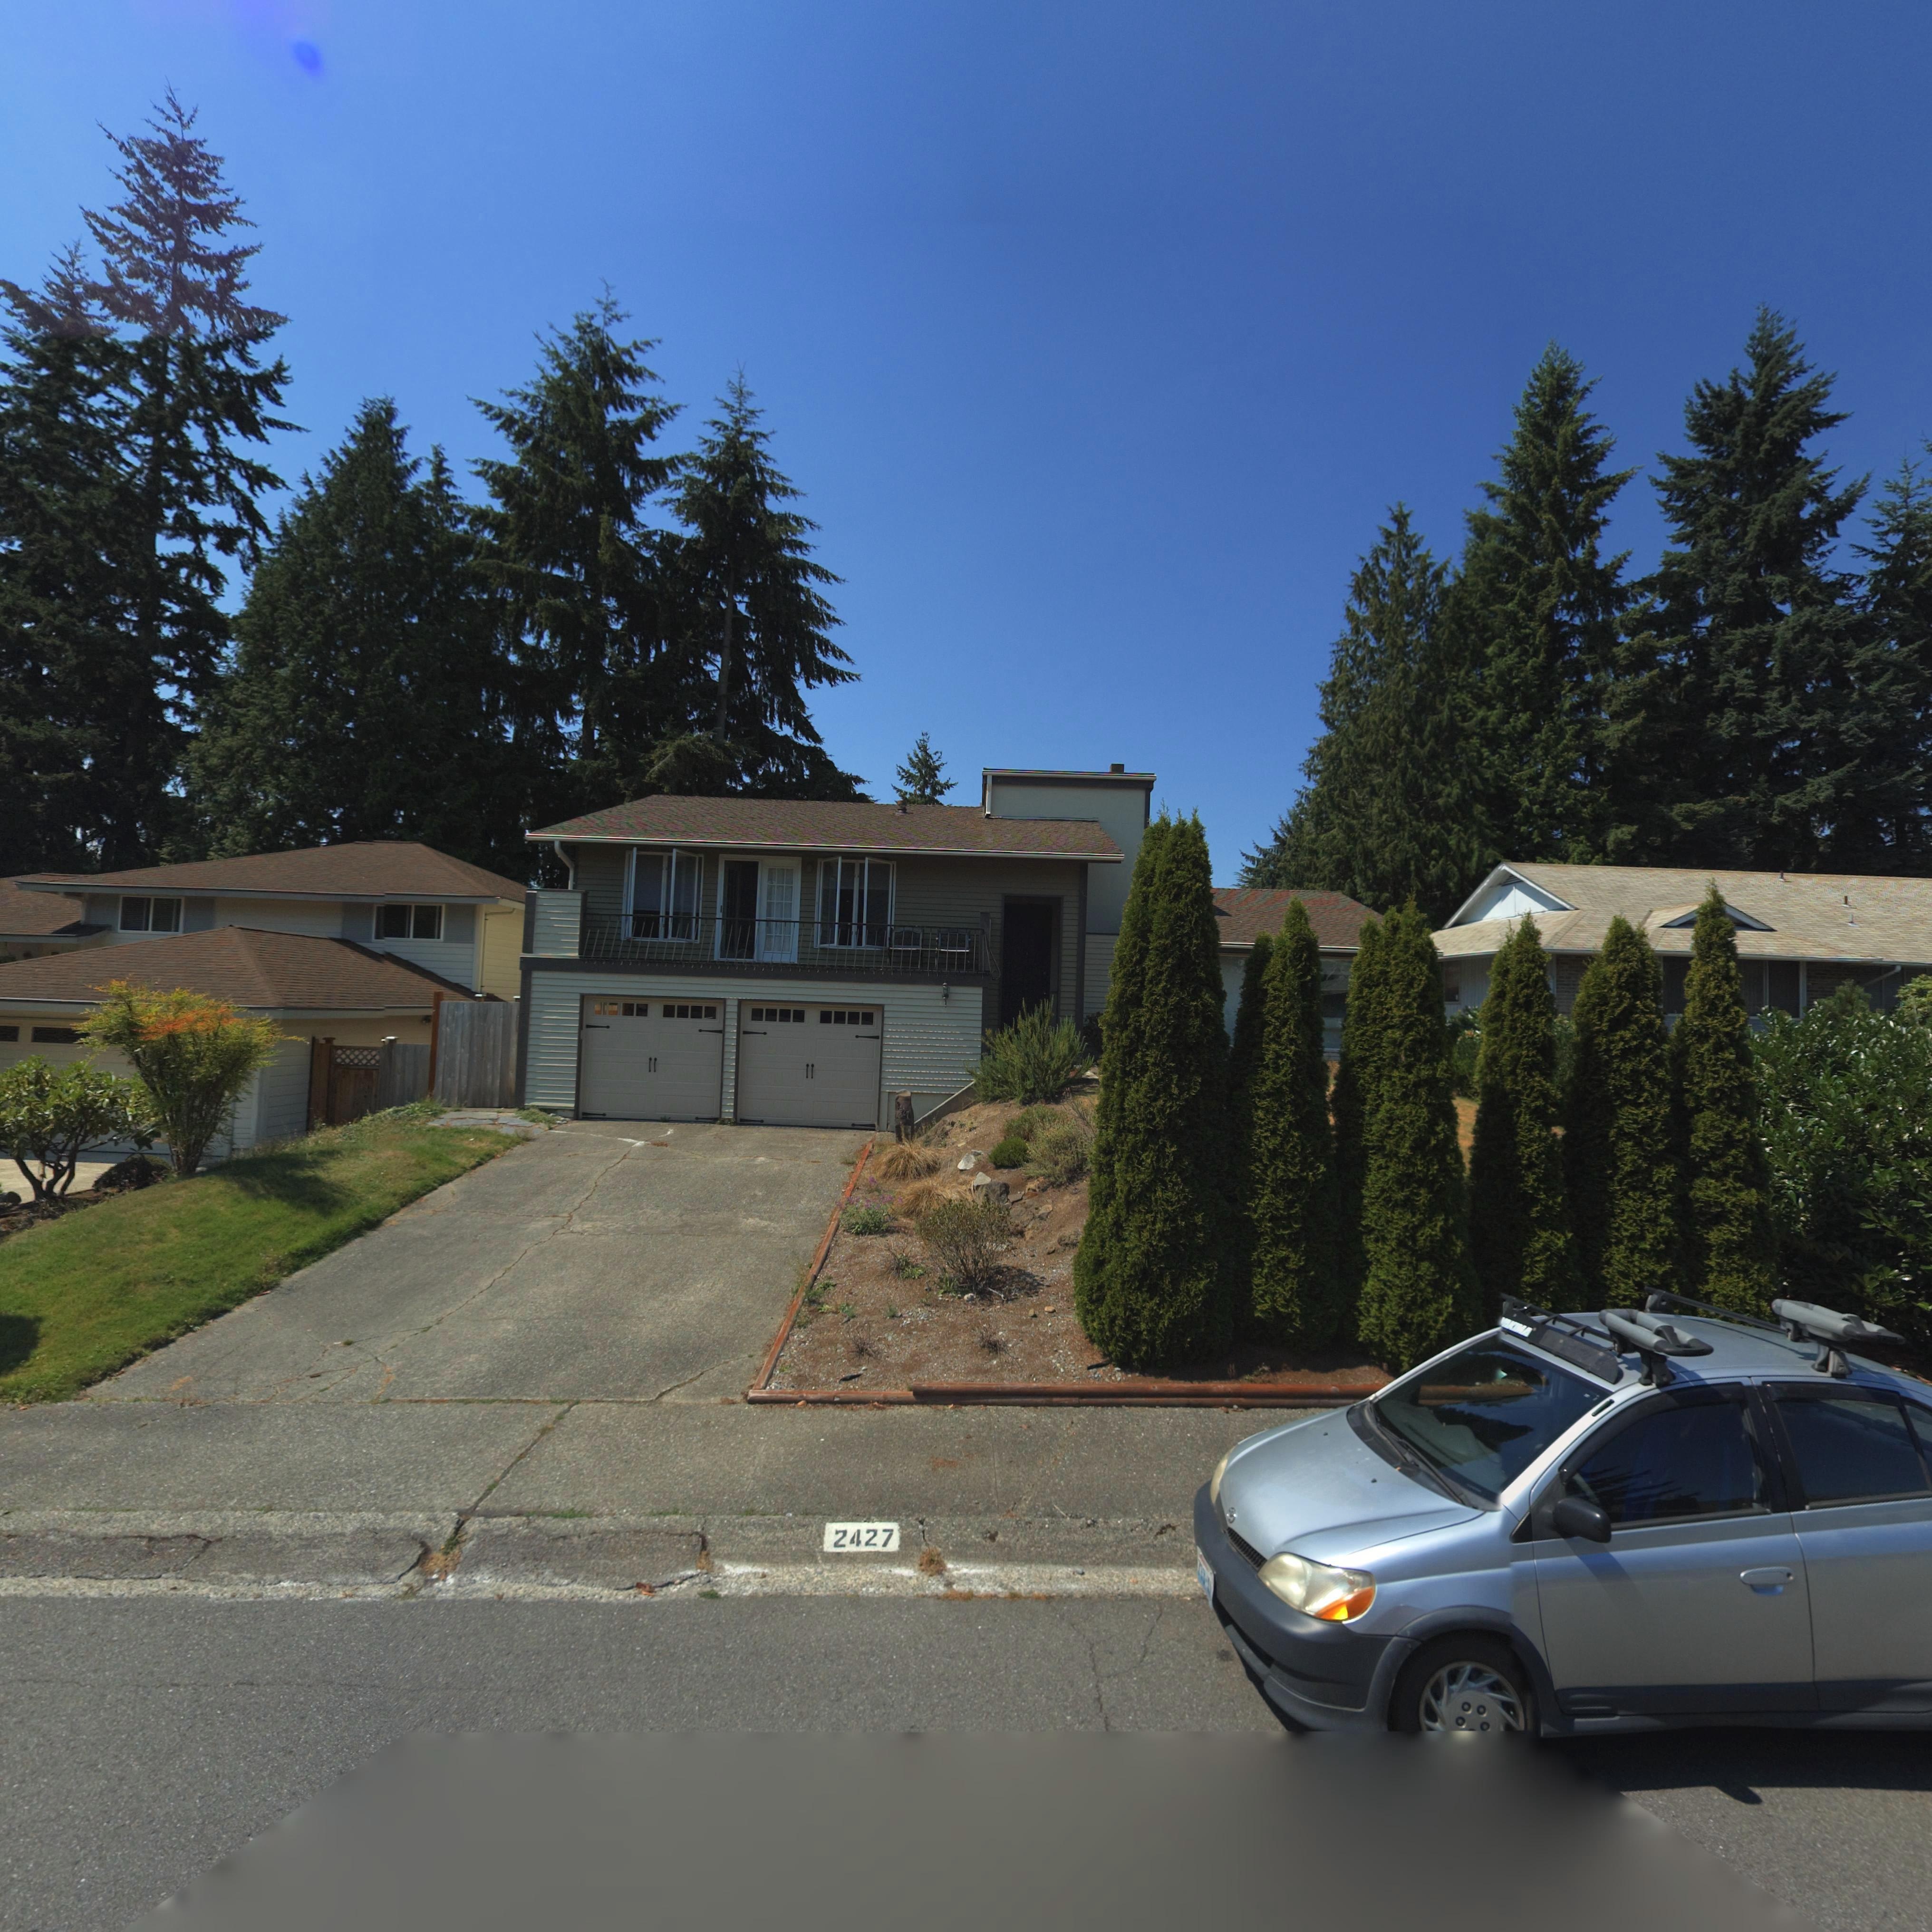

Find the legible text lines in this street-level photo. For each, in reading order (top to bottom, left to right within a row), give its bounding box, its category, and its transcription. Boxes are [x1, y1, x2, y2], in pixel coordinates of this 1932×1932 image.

[827, 1520, 903, 1551] StreetNumber: 2427